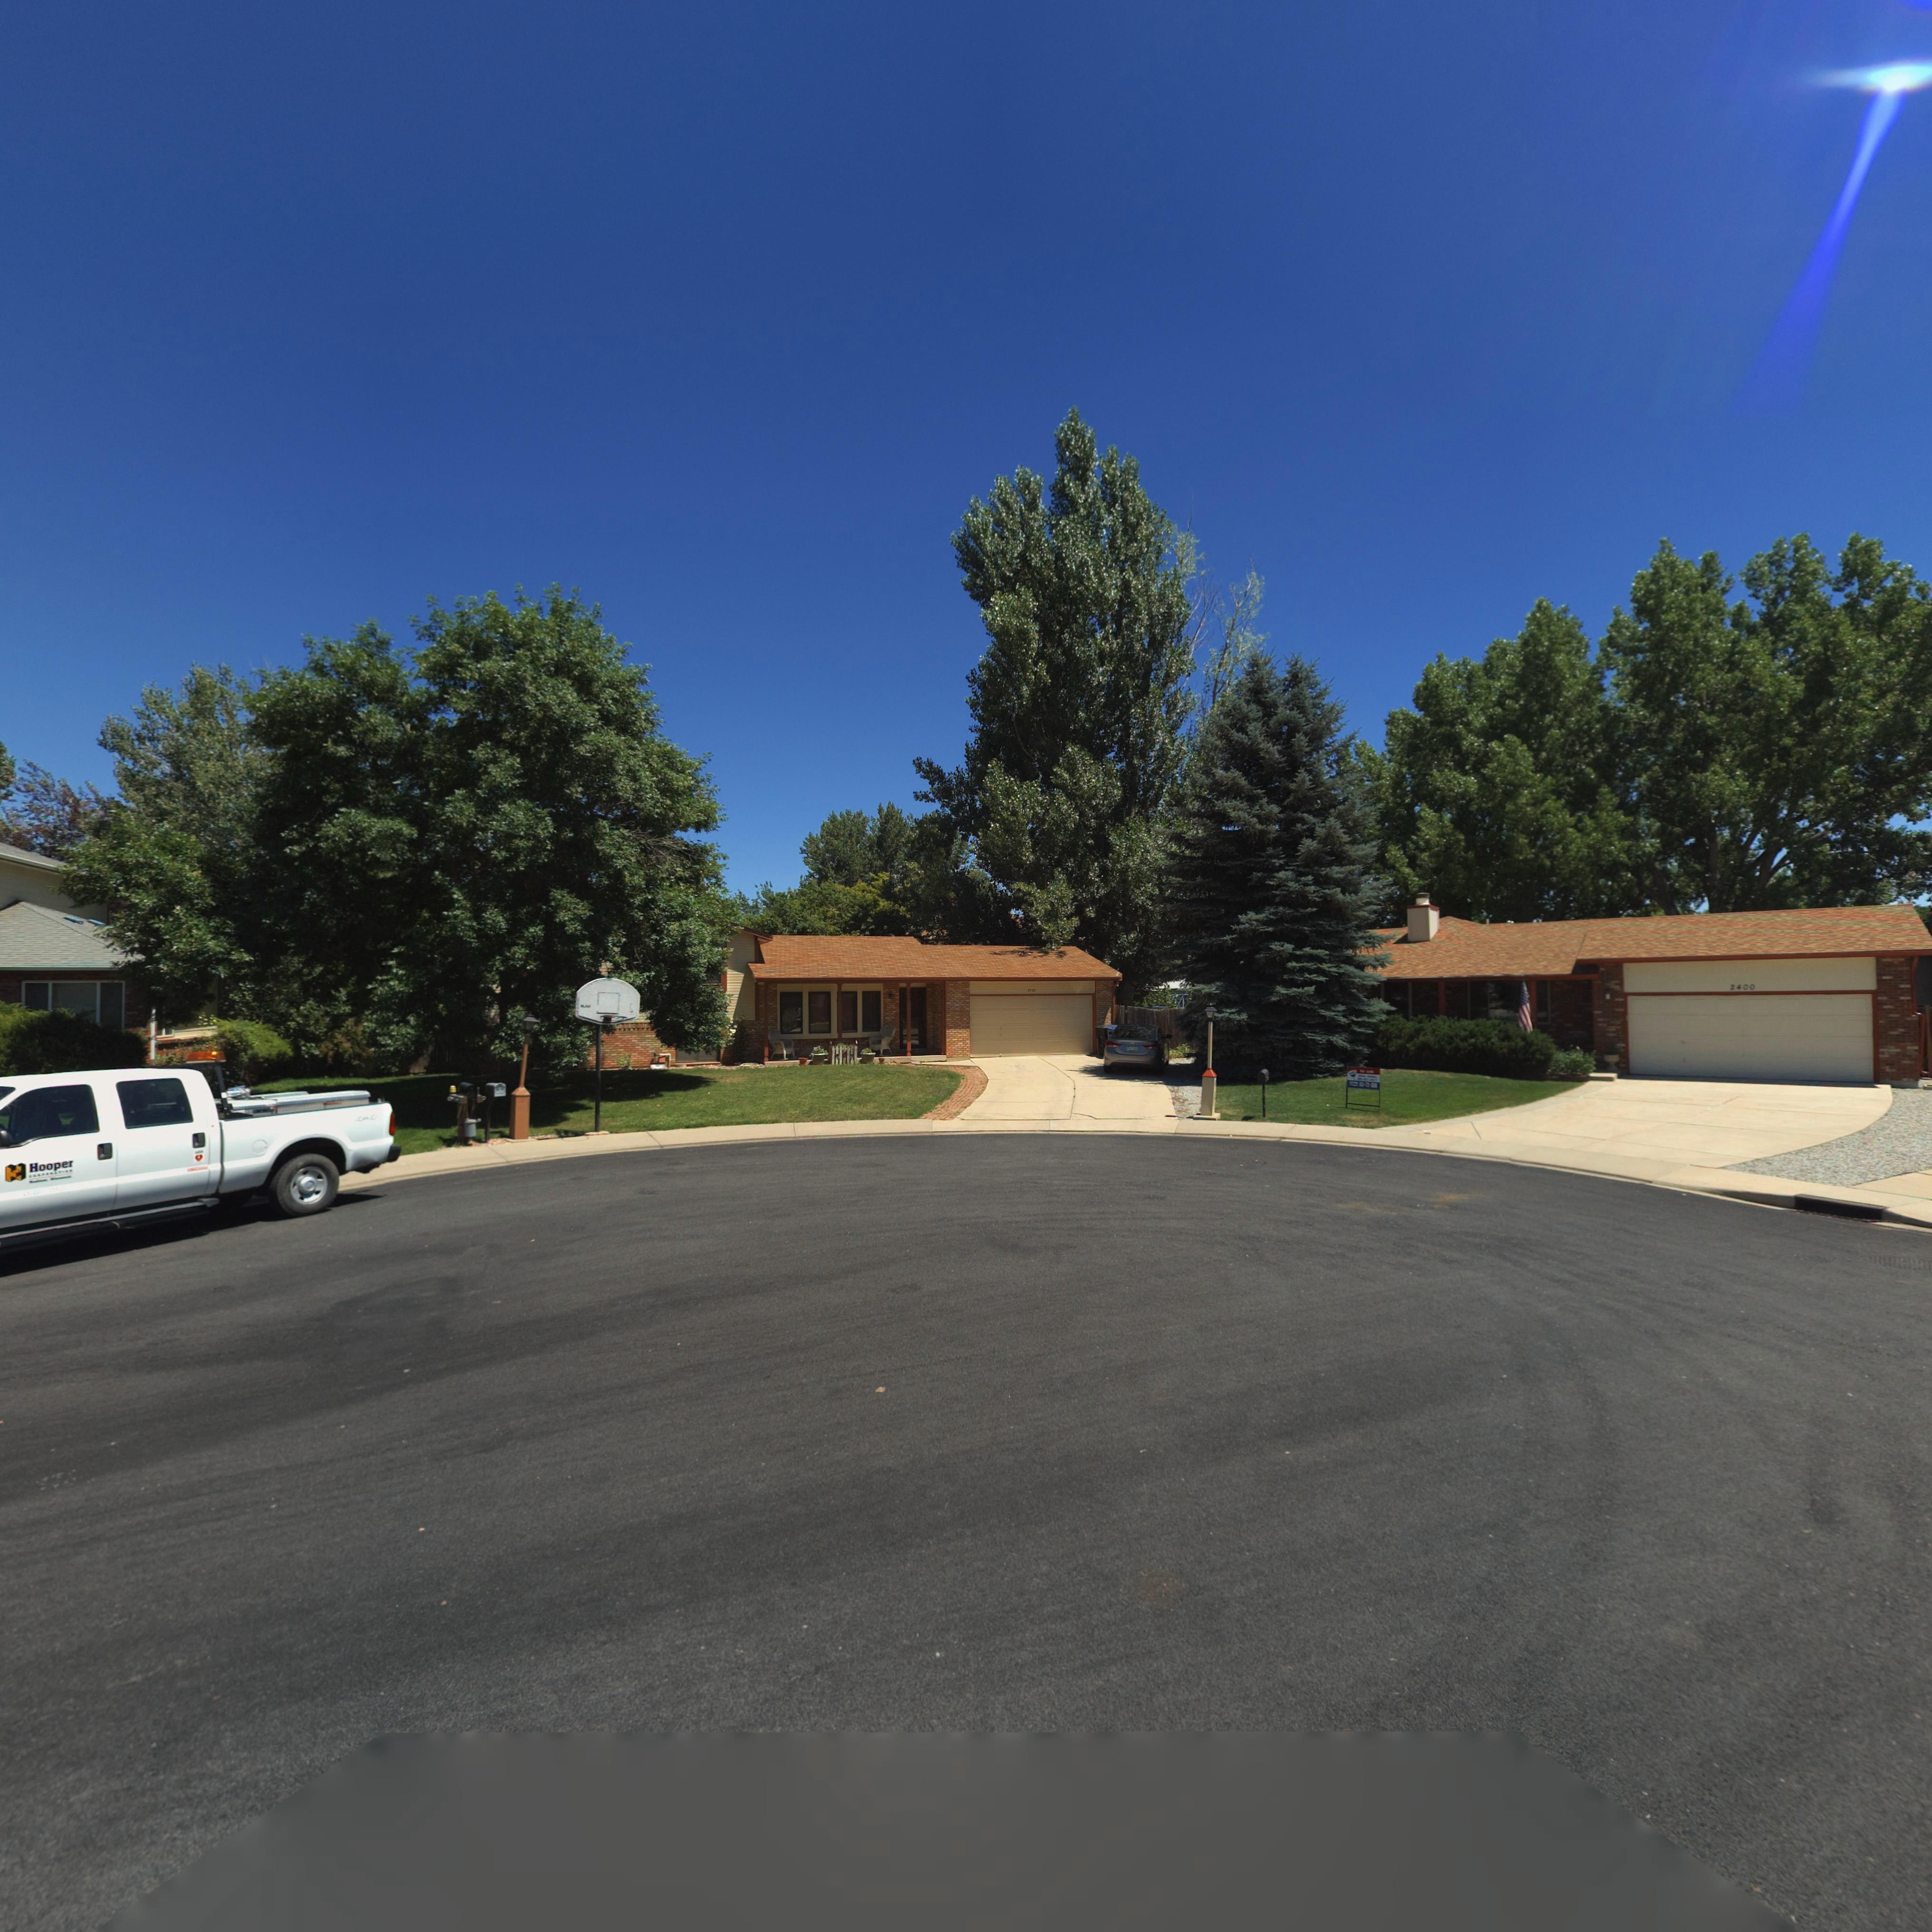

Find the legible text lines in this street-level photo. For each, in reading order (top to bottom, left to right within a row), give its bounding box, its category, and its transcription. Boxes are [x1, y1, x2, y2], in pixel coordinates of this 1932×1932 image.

[1027, 988, 1035, 992] StreetNumber: 210*
[1730, 984, 1755, 990] StreetNumber: 2400